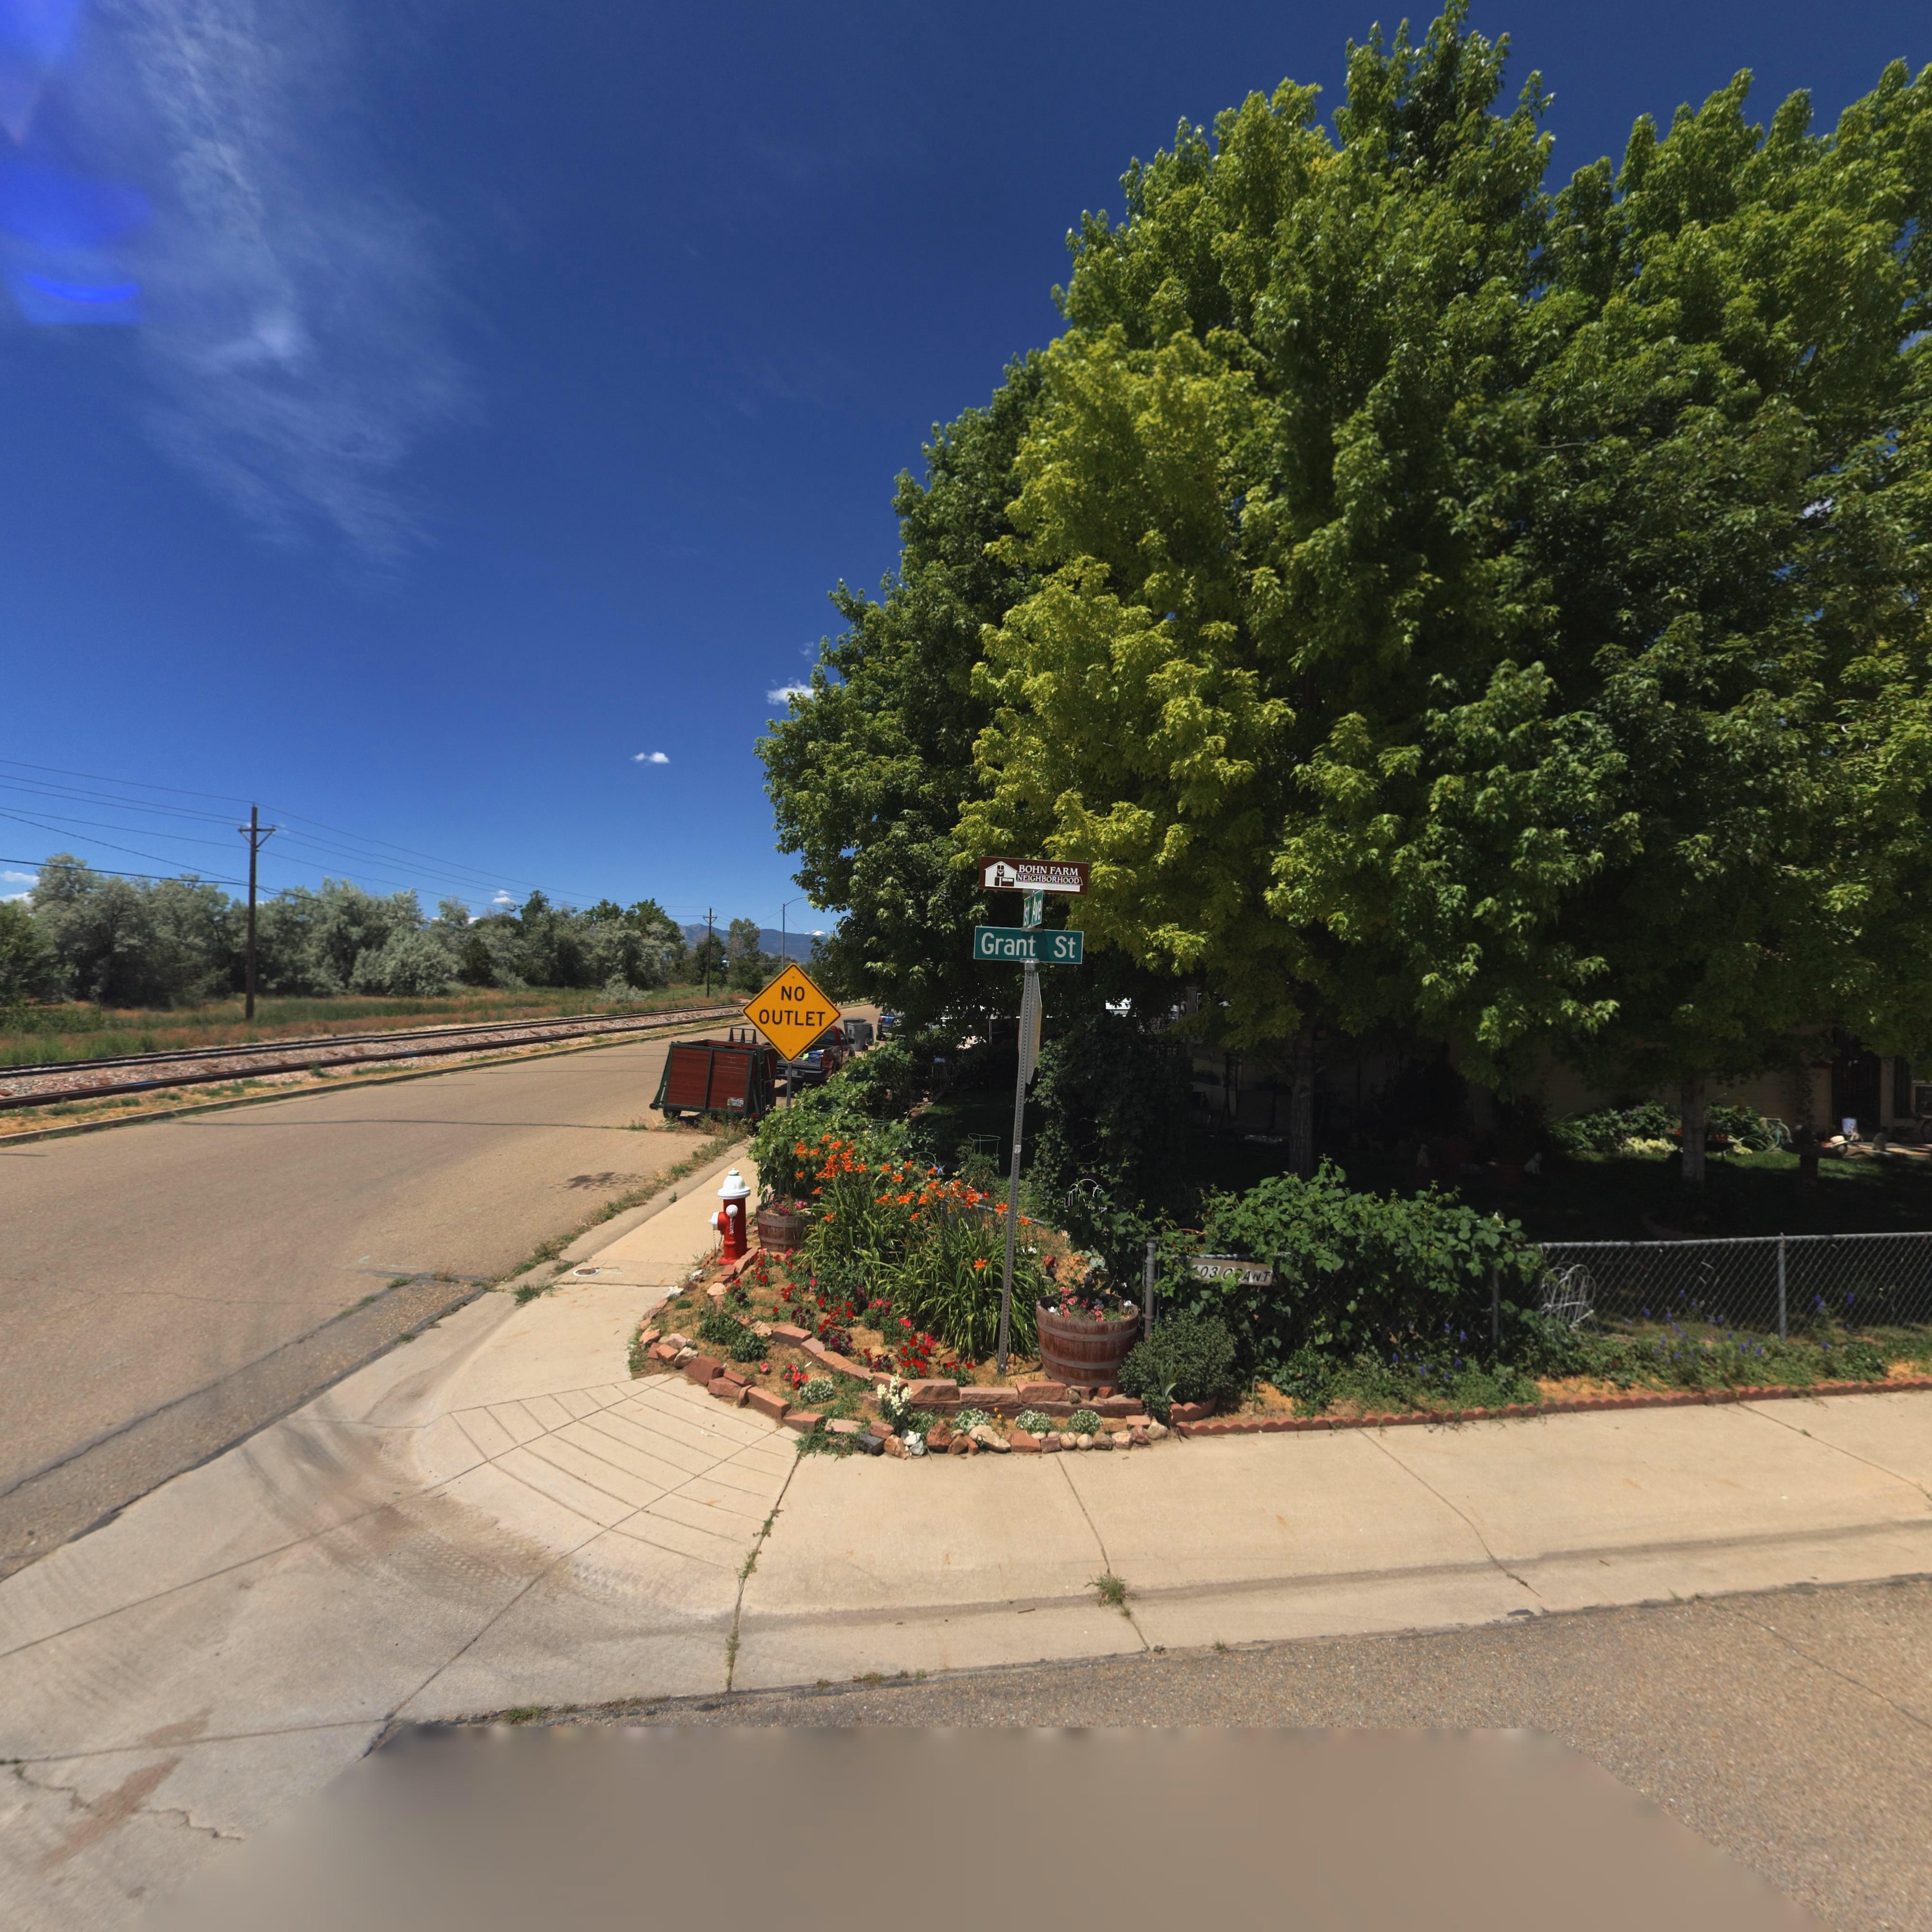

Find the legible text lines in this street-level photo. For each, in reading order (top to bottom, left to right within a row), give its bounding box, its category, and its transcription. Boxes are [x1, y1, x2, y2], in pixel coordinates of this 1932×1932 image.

[1023, 895, 1042, 927] StreetName: *st Ave
[980, 931, 1076, 959] StreetName: Grant St
[1188, 1265, 1218, 1278] StreetNumber: 403
[1221, 1267, 1271, 1282] StreetName: GRANT